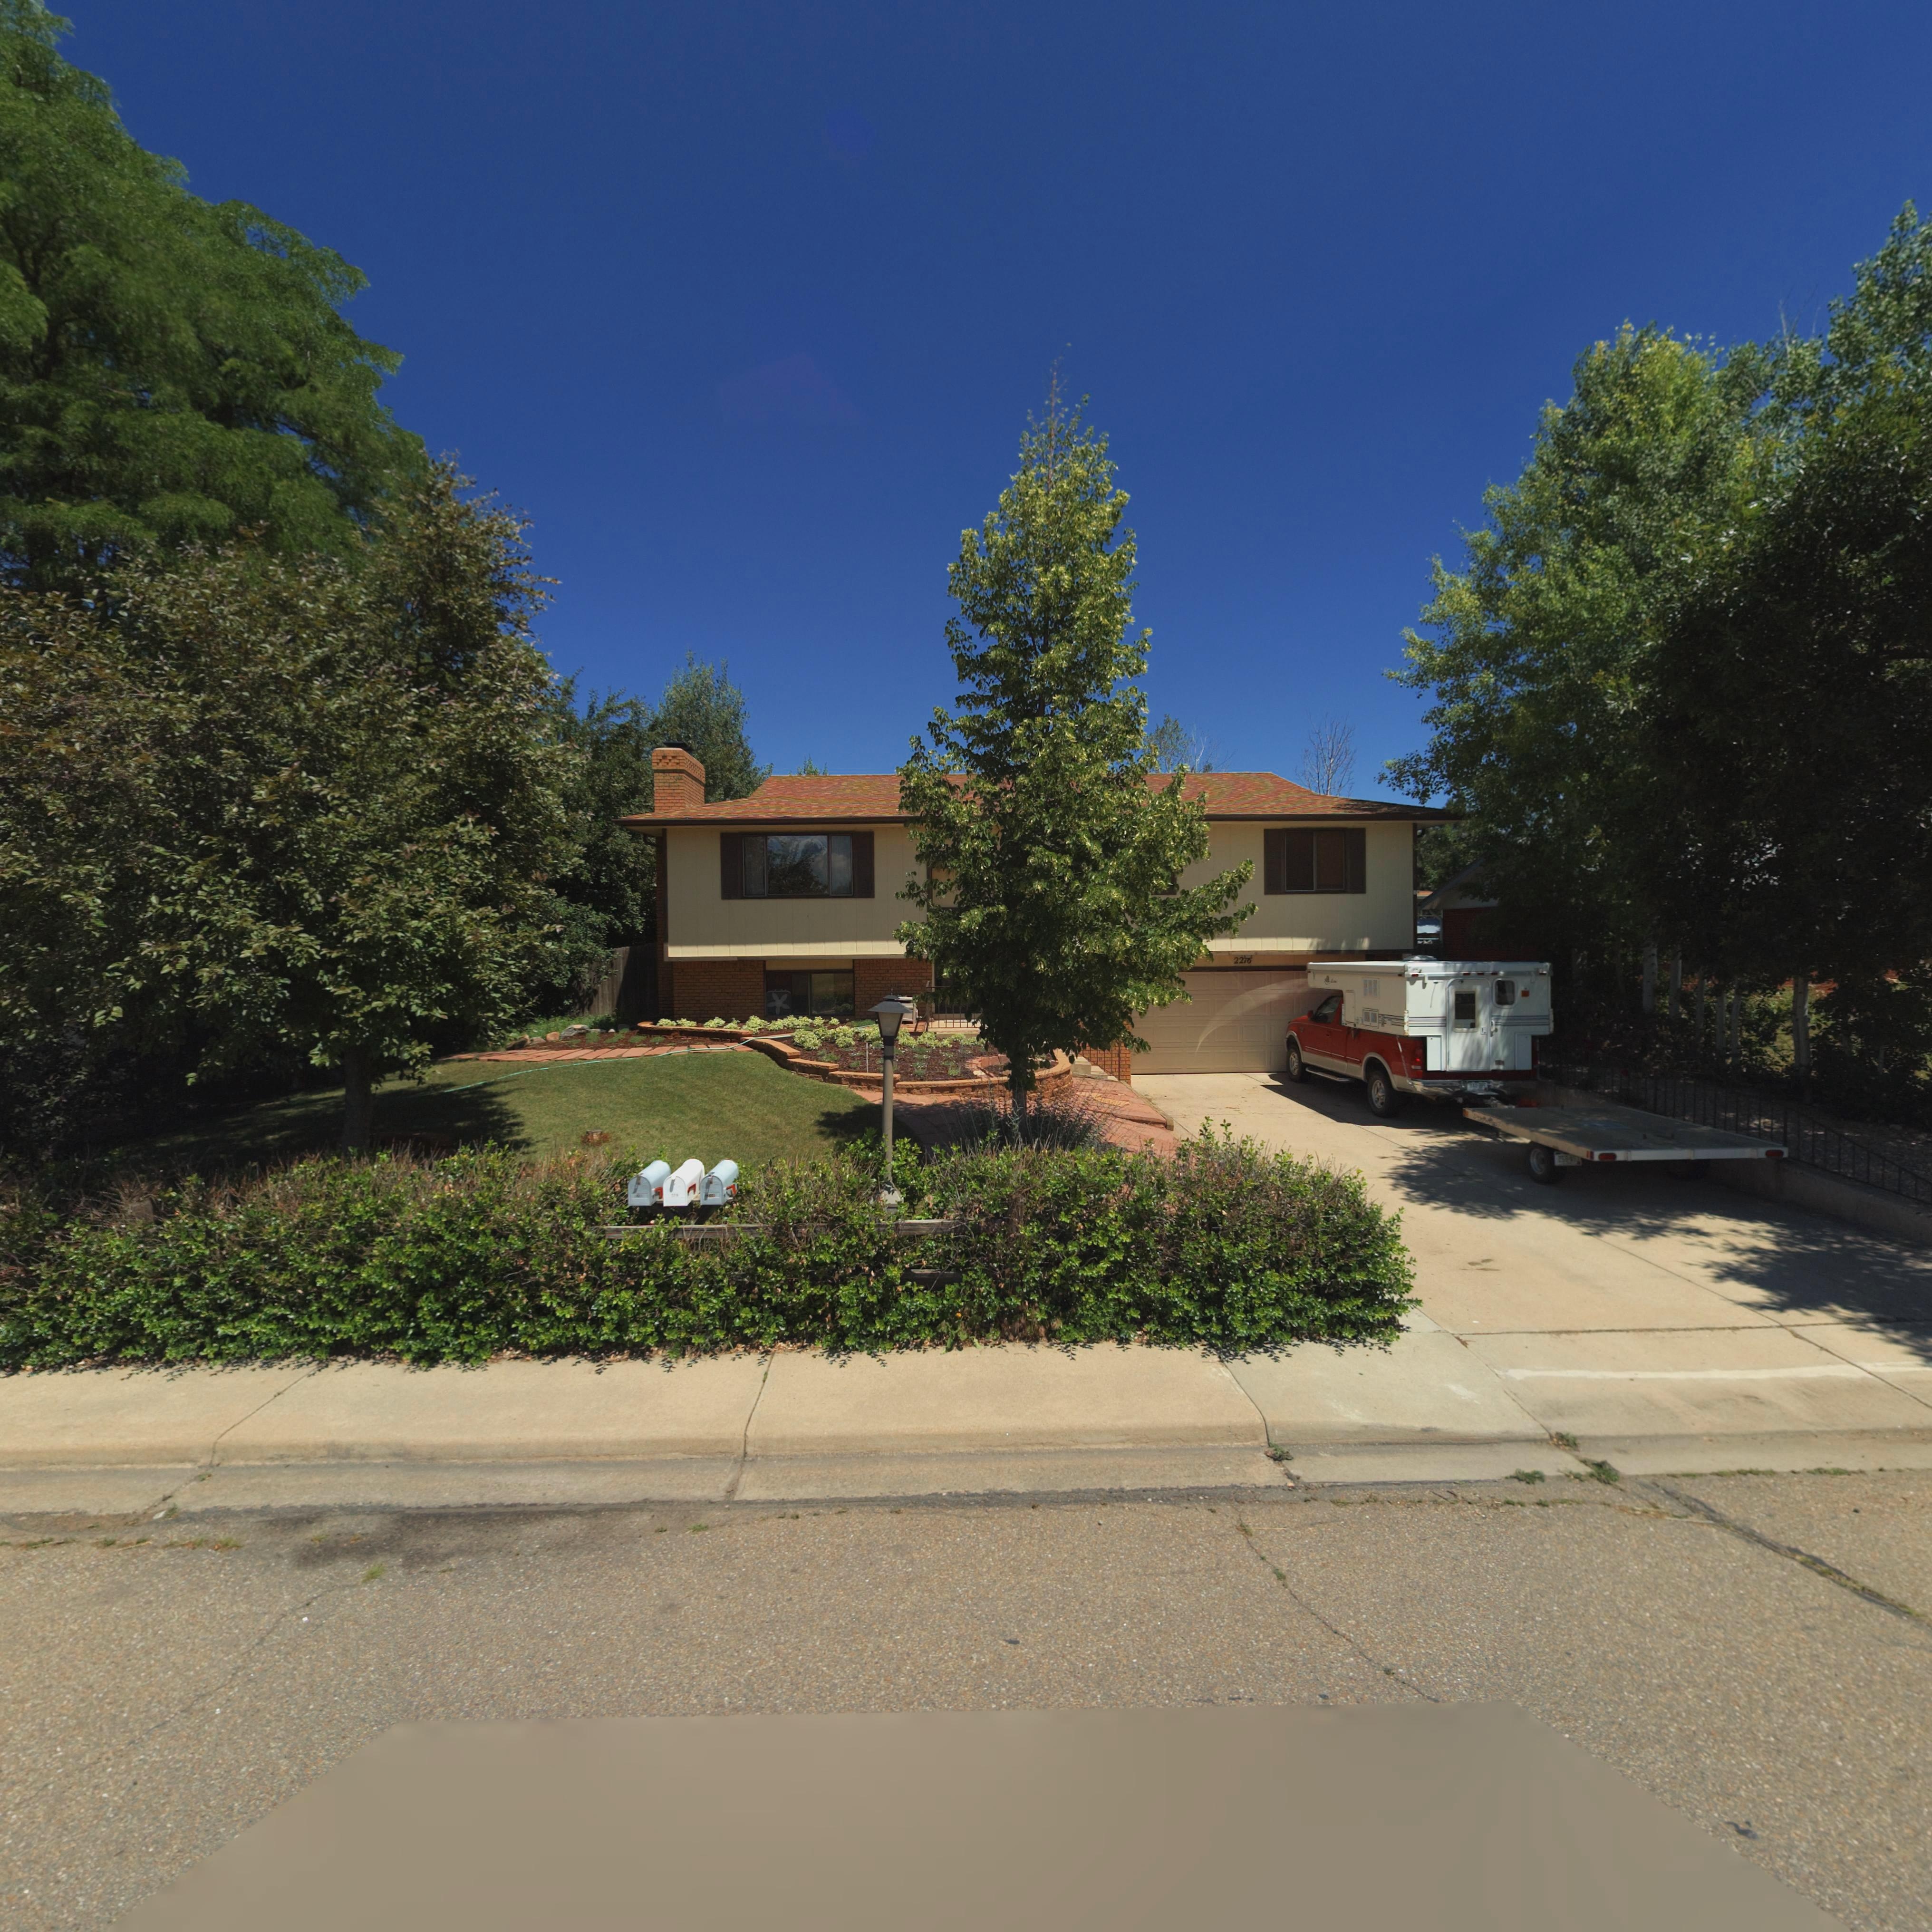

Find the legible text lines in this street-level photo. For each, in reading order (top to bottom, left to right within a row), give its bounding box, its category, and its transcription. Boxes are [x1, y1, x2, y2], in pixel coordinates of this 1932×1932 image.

[1234, 956, 1252, 964] StreetNumber: 2216
[670, 1193, 678, 1197] StreetNumber: 2***\
[709, 1193, 715, 1197] StreetNumber: *10